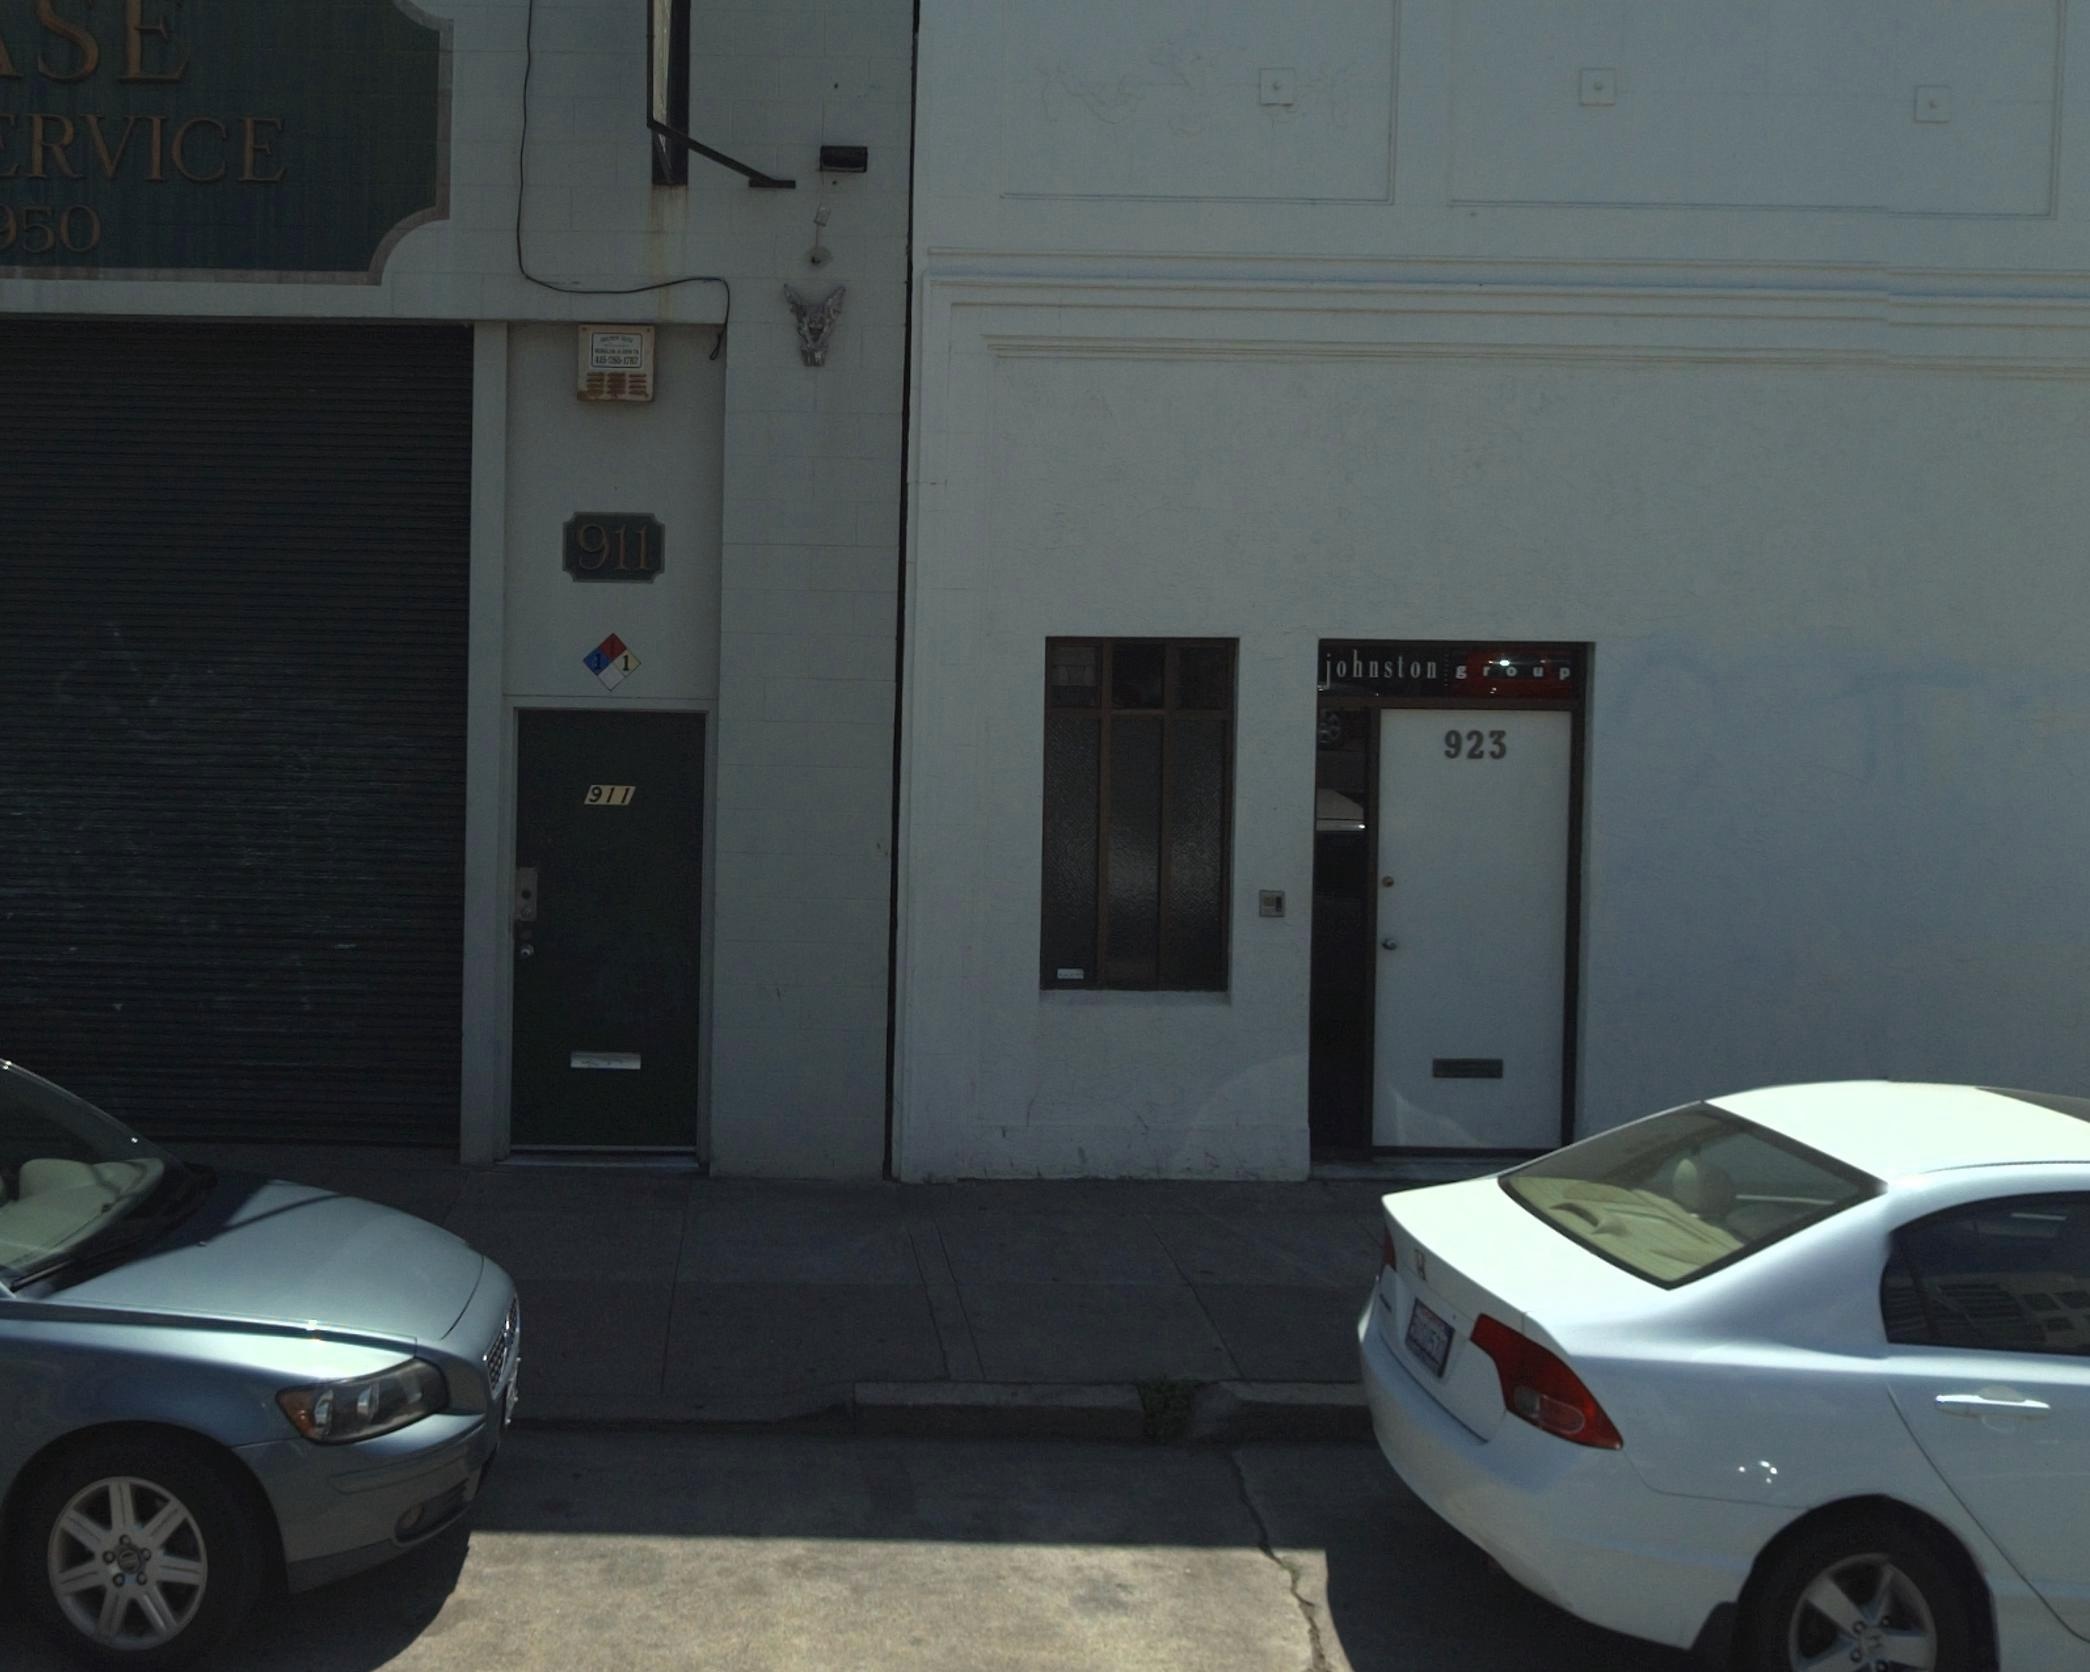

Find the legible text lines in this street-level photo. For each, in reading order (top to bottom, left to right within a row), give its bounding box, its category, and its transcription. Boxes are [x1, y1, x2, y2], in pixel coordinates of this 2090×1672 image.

[24, 109, 288, 184] None: RVICE
[19, 204, 102, 255] None: 50
[576, 522, 654, 572] StreetNumber: 911
[593, 652, 602, 670] None: 1
[606, 636, 616, 656] None: 1
[622, 654, 629, 671] None: 1
[1321, 648, 1572, 691] BusinessName: johnston group
[1441, 729, 1507, 761] StreetNumber: 923
[586, 786, 632, 804] StreetNumber: 911